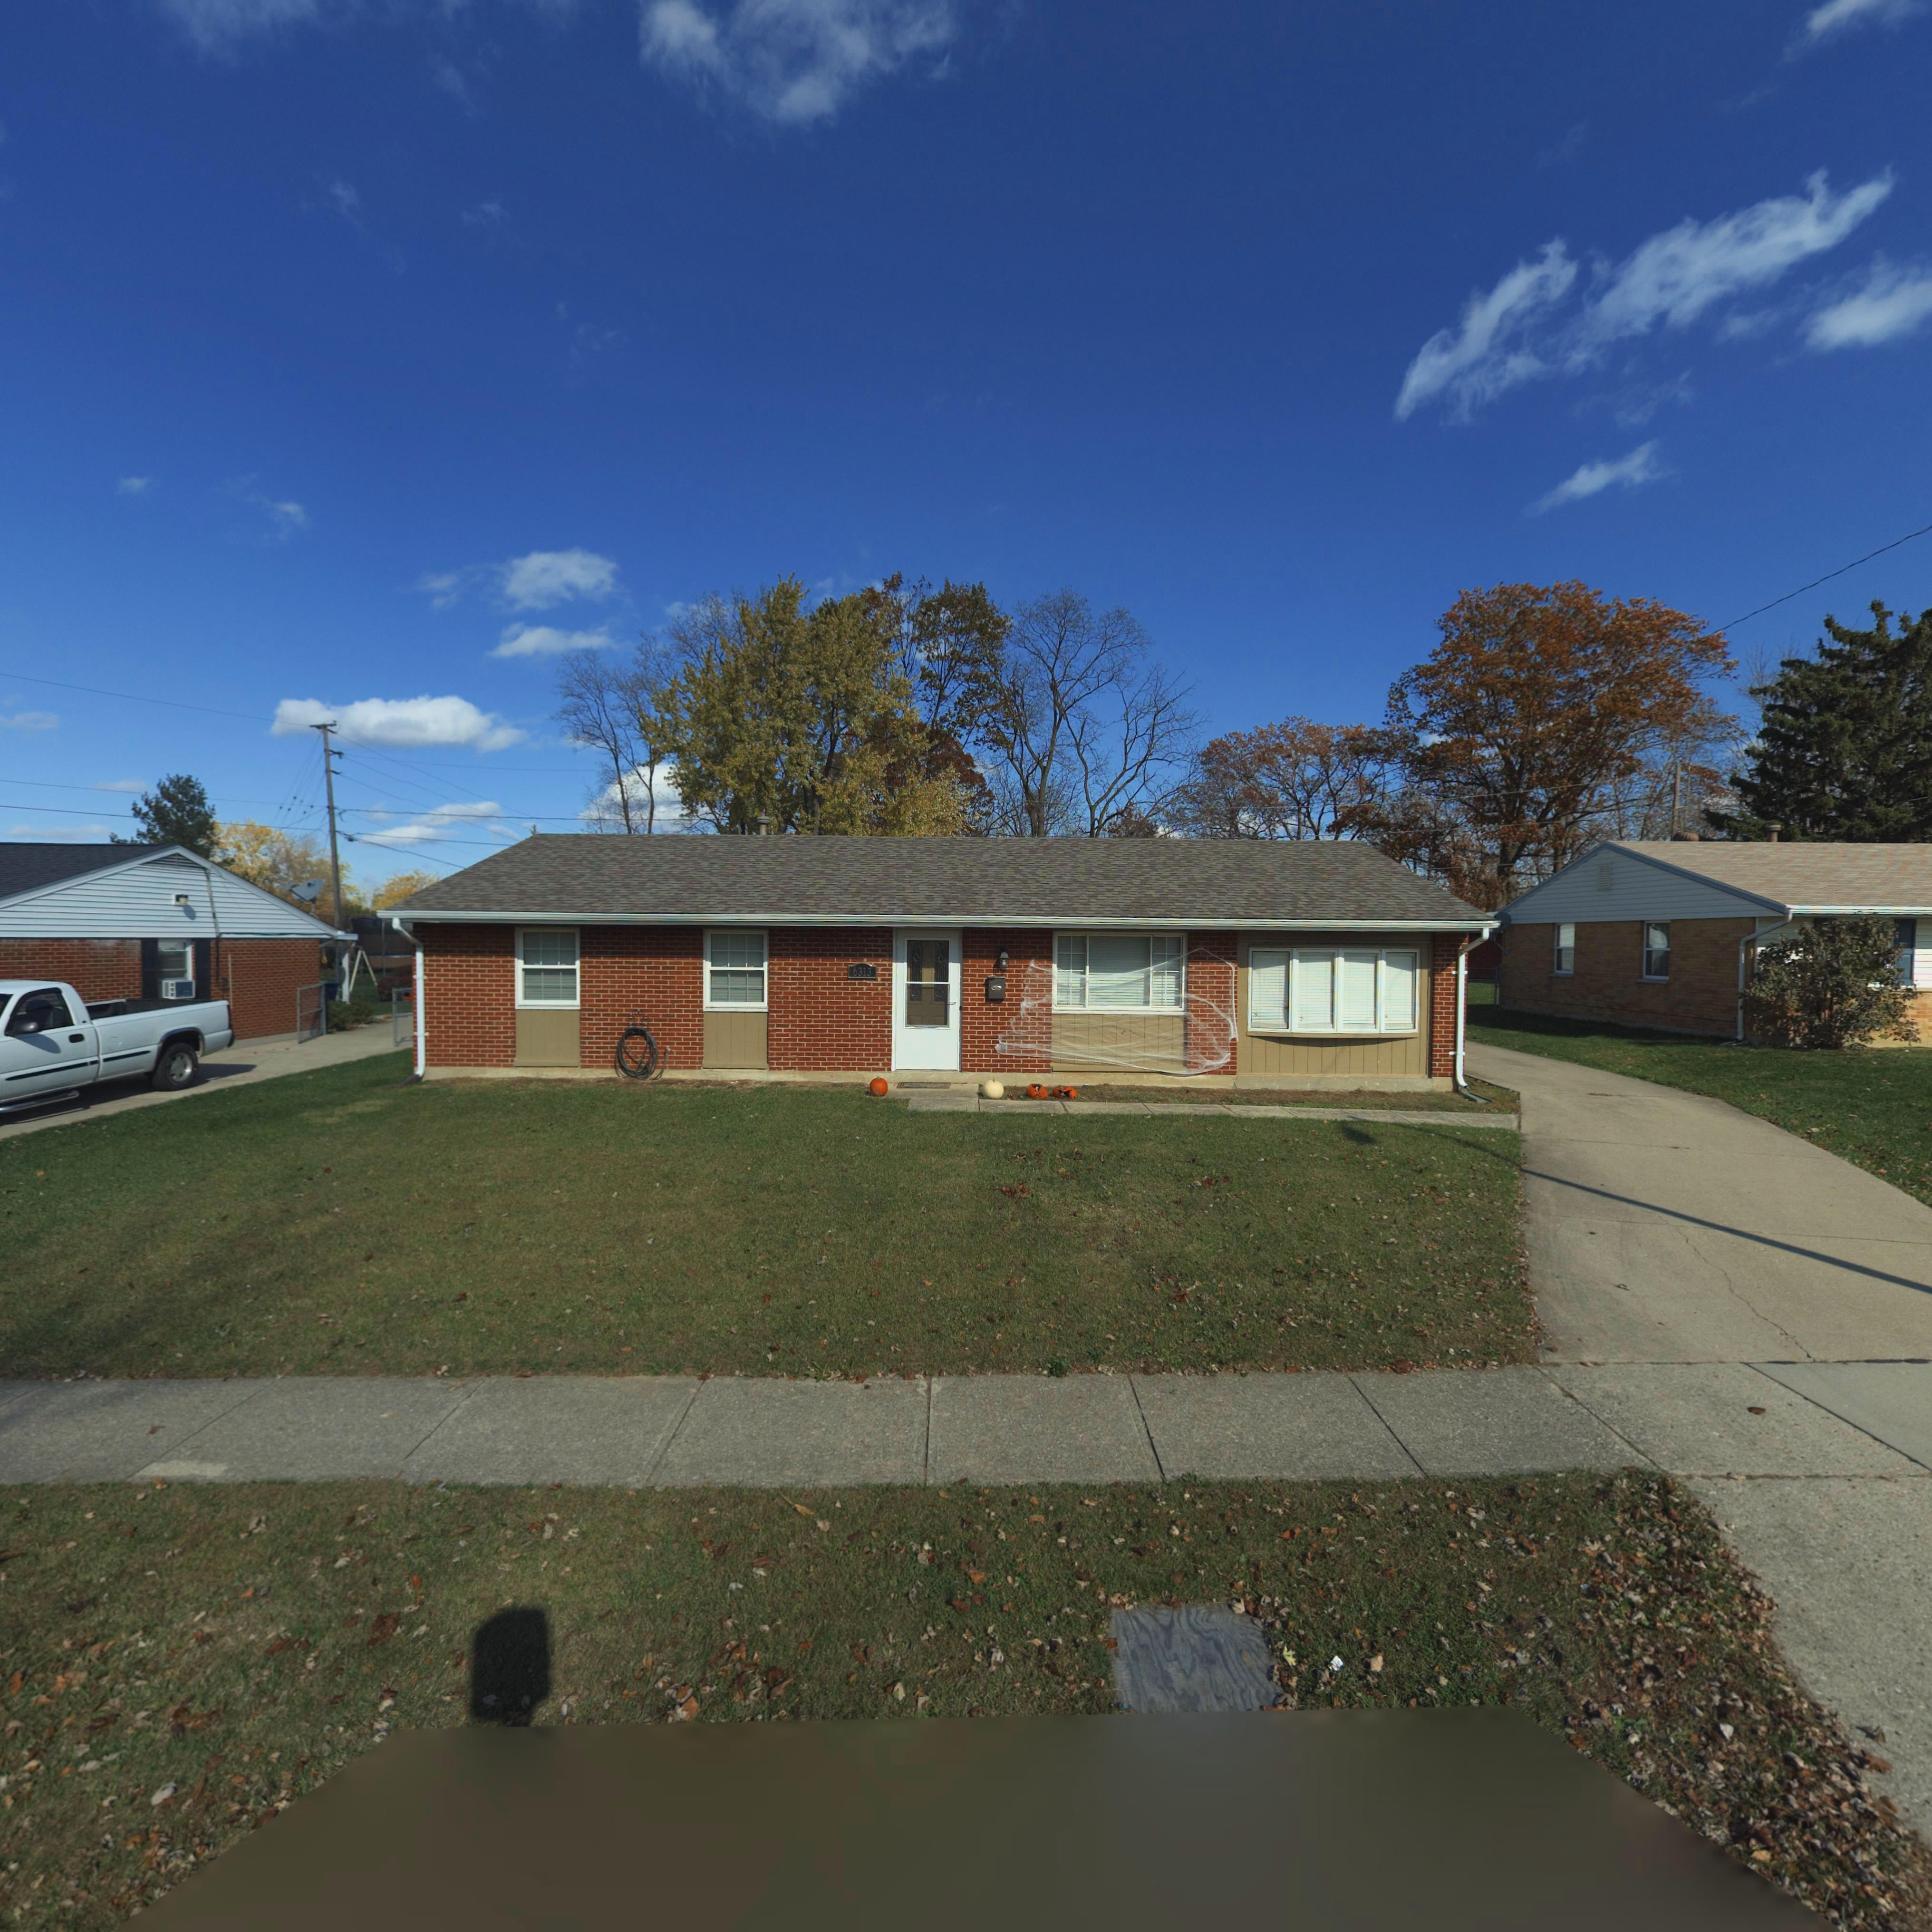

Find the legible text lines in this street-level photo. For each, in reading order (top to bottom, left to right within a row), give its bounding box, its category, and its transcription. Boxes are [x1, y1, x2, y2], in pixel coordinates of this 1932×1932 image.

[852, 966, 872, 976] StreetNumber: 6313